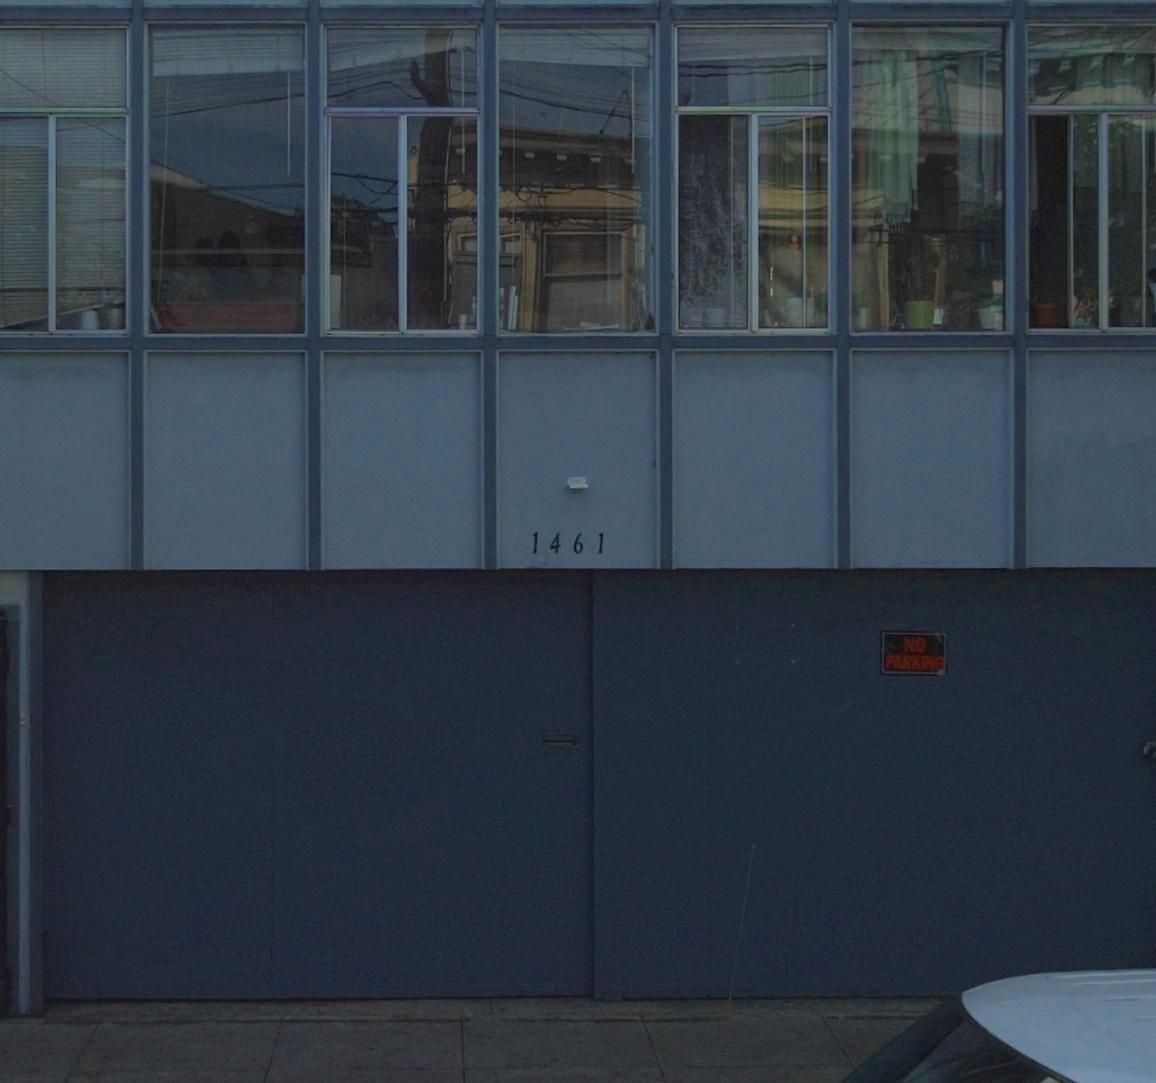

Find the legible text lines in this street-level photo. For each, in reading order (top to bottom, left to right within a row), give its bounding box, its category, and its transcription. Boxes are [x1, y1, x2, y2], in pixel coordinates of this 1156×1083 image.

[530, 530, 607, 557] StreetNumber: 1461
[902, 634, 929, 655] None: NO
[882, 652, 946, 674] None: PARKING